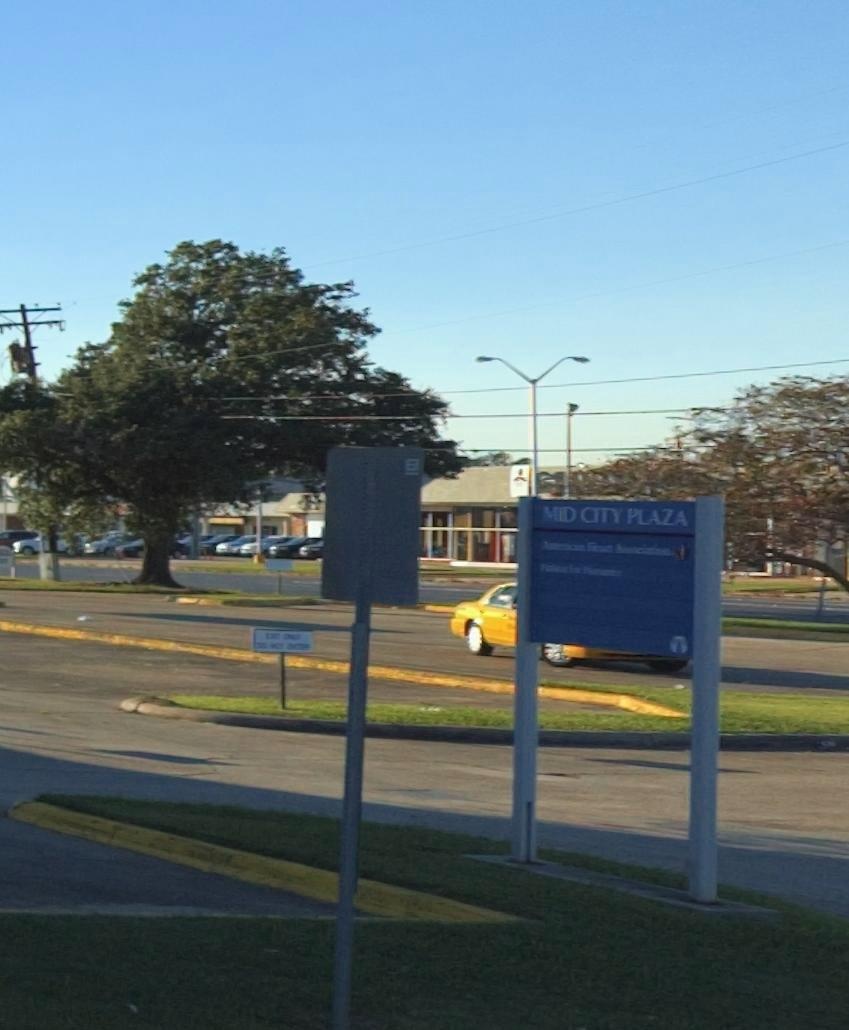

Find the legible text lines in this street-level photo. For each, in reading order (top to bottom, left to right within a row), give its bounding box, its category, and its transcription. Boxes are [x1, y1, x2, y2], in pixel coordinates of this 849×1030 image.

[541, 504, 691, 530] BusinessName: MID CITY PLAZA